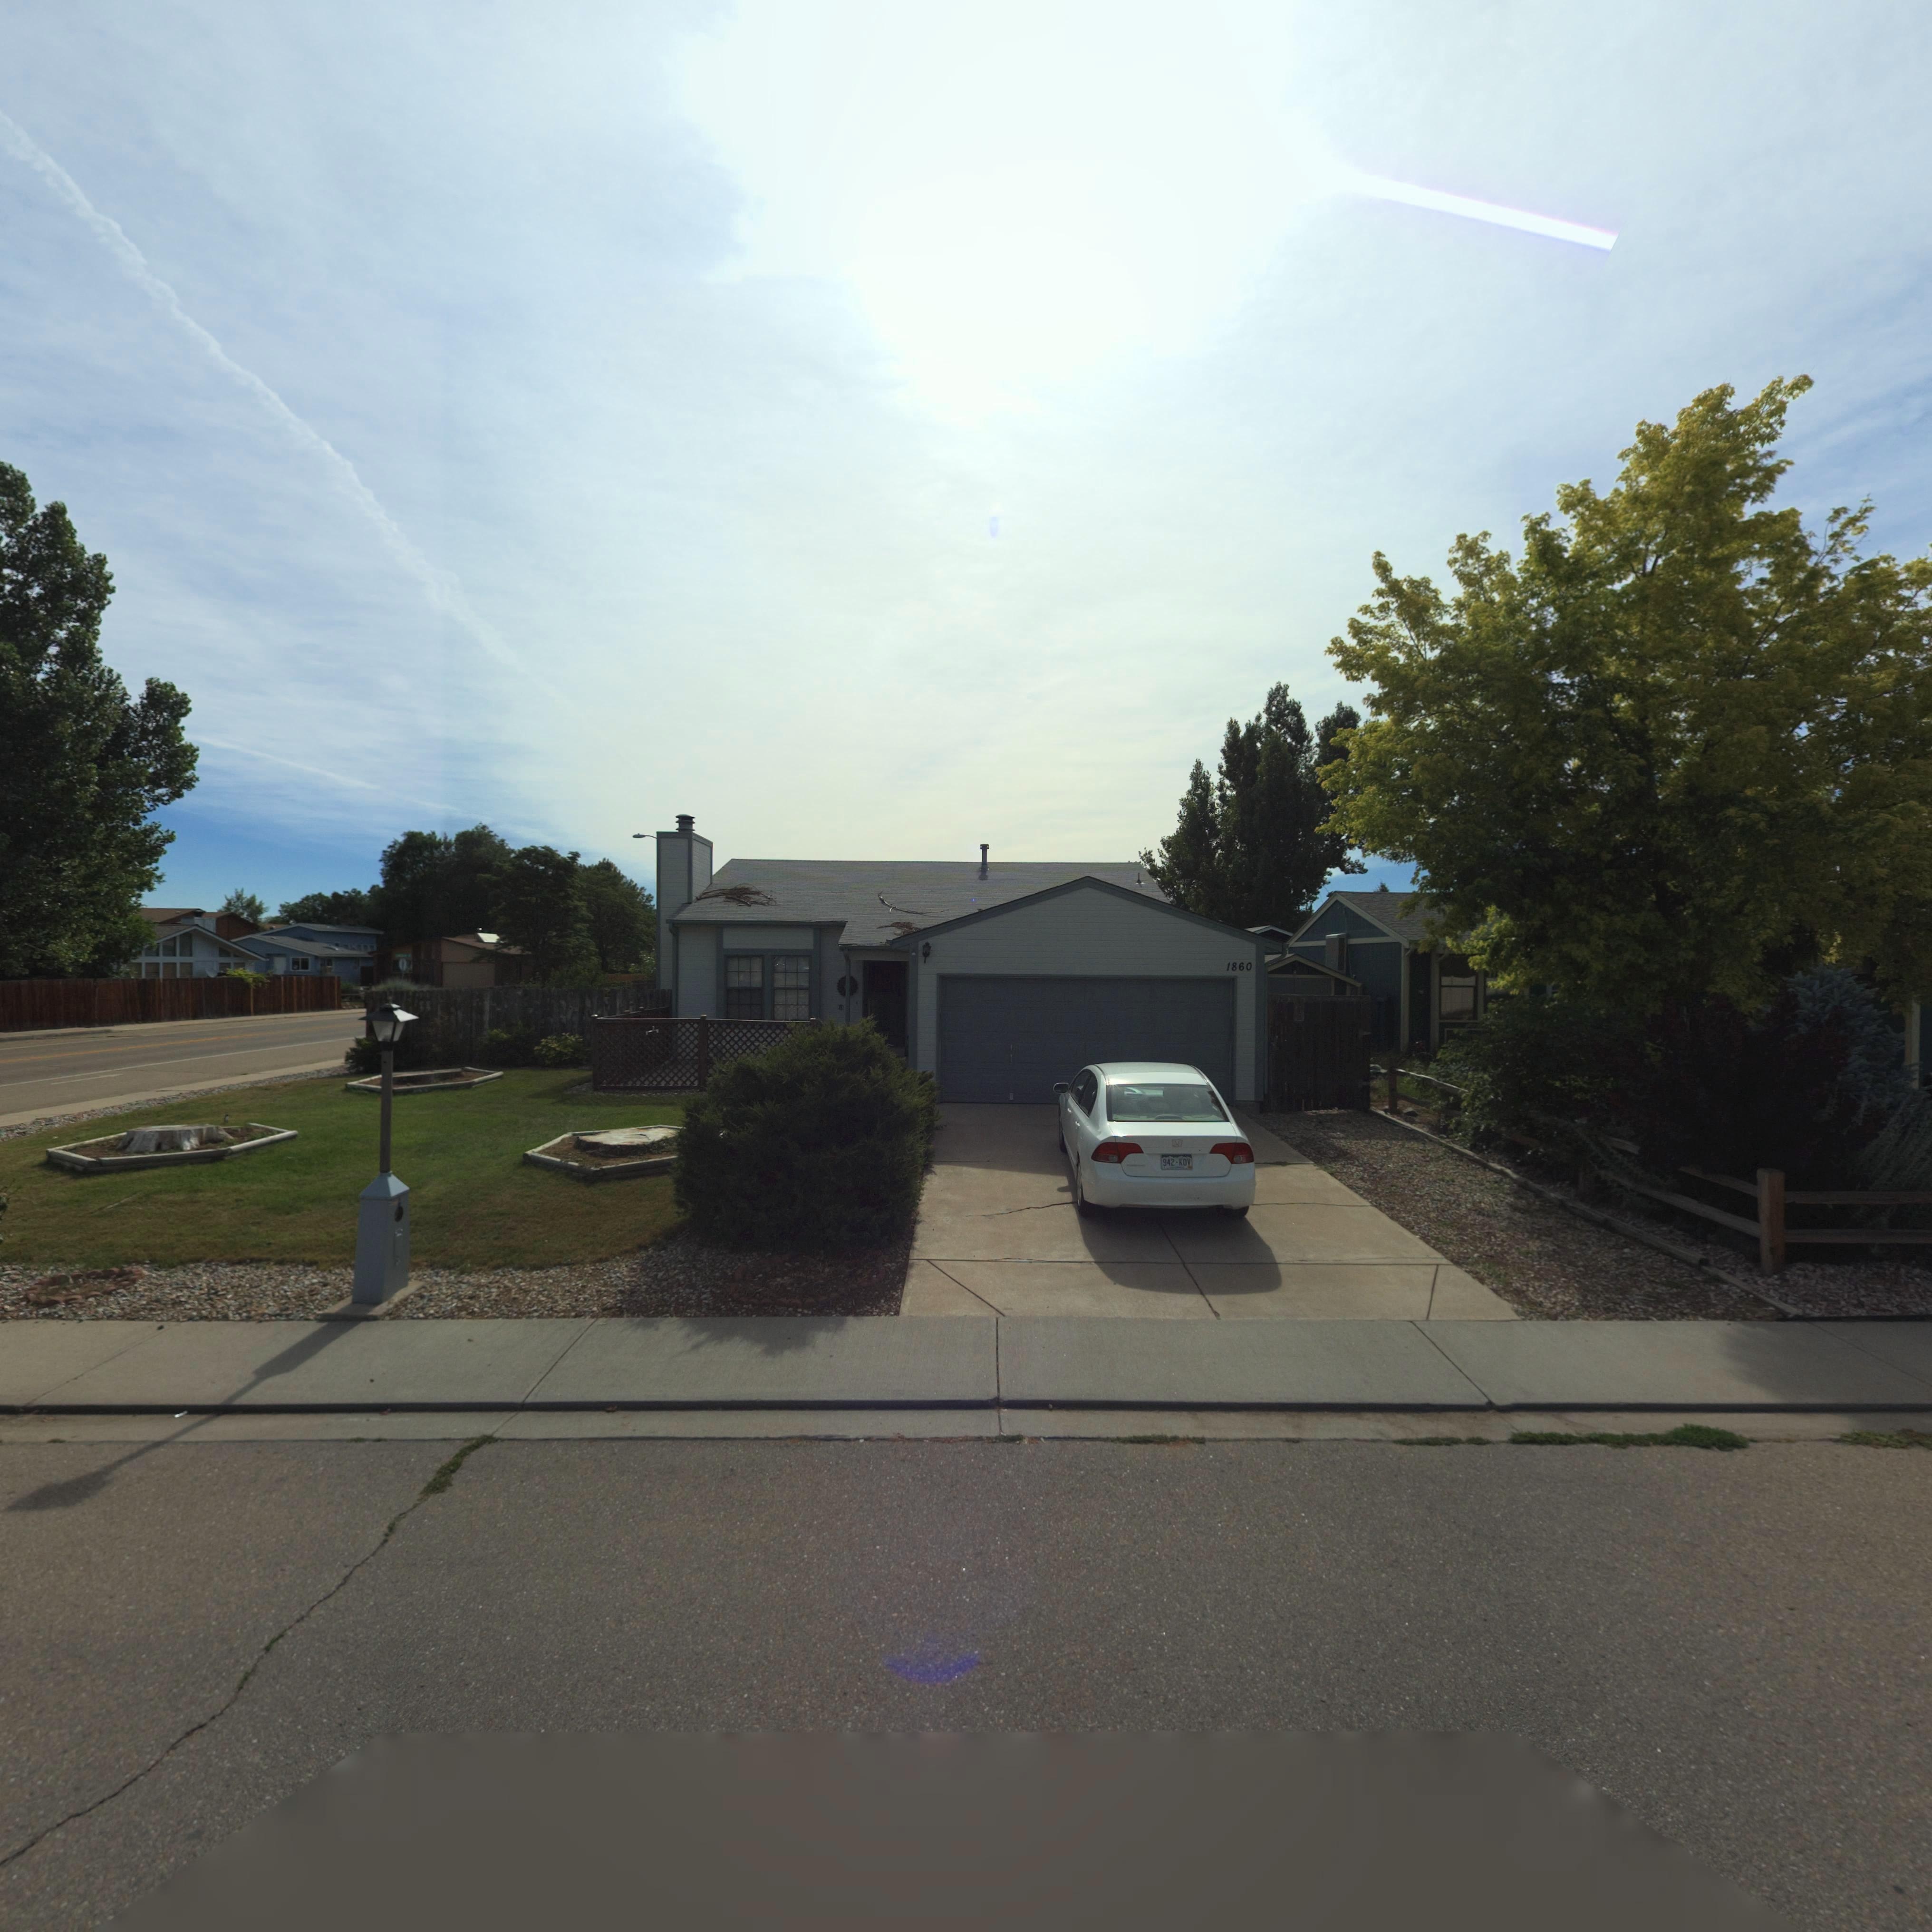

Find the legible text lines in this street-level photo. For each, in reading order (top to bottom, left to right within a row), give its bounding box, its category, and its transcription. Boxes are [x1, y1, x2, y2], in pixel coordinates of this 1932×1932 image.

[1226, 962, 1252, 971] StreetNumber: 1860